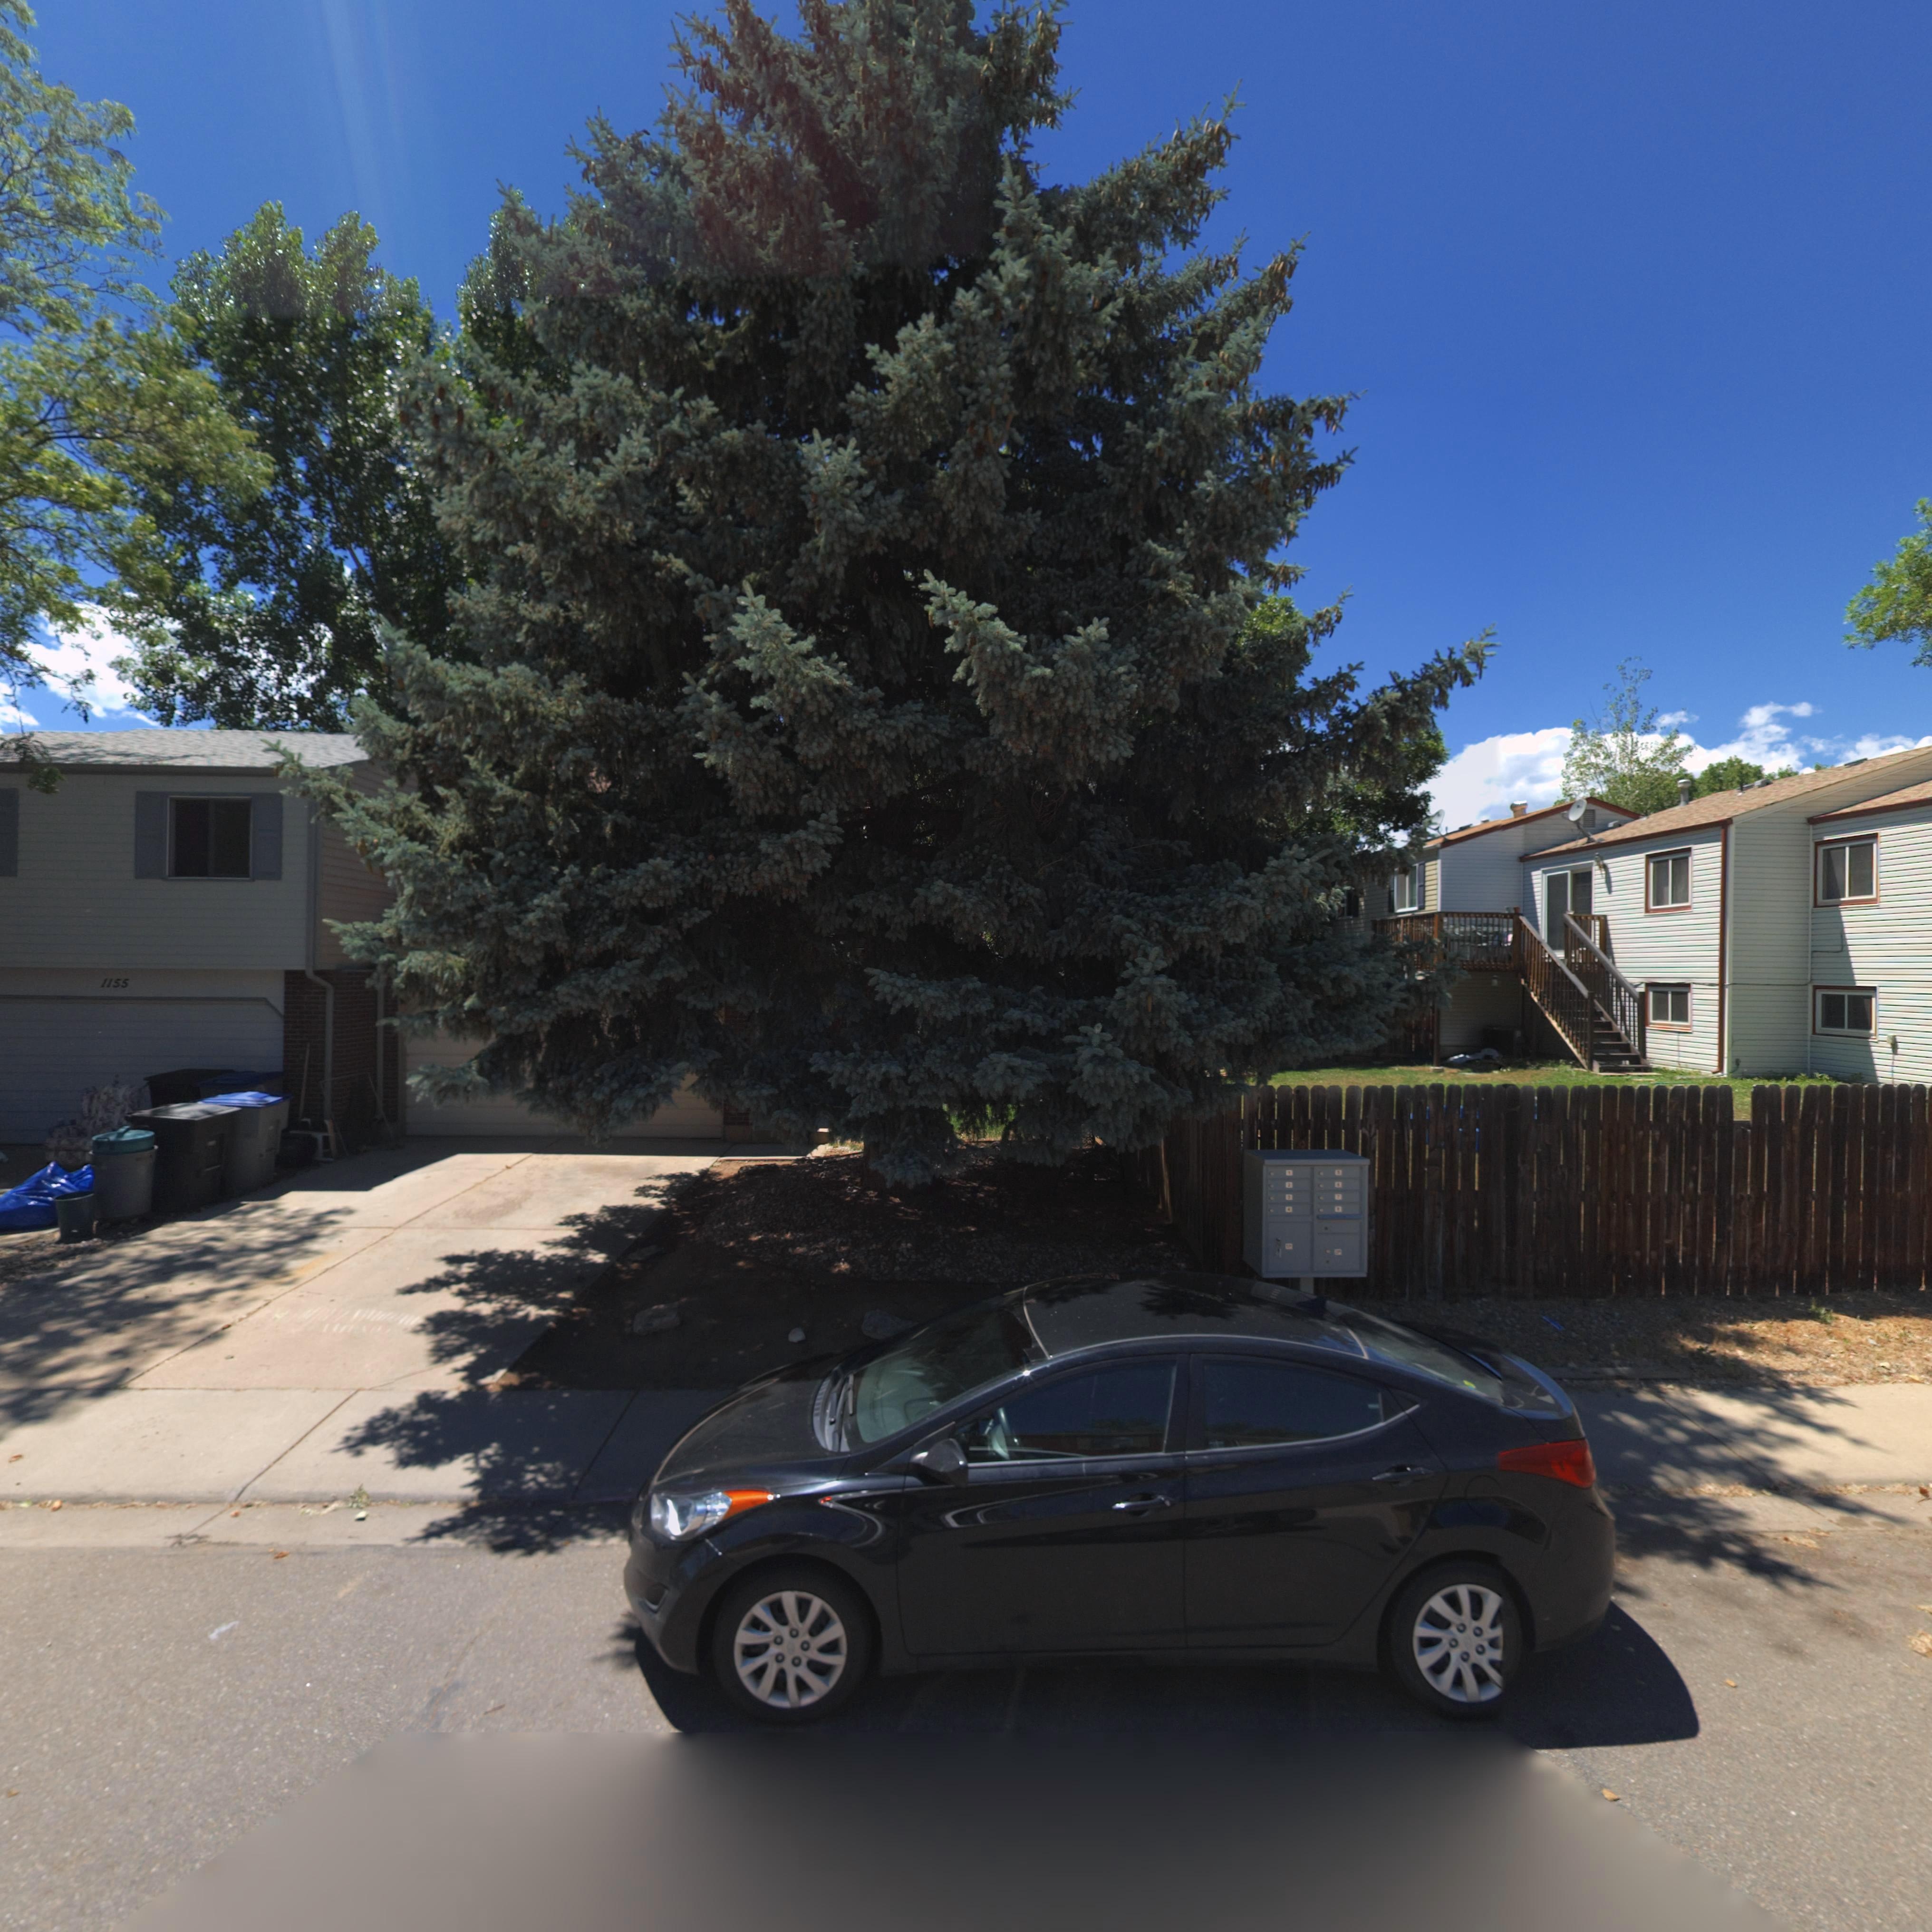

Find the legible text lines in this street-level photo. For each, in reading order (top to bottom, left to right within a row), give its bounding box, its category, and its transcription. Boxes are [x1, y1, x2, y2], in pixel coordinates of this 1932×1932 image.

[100, 978, 130, 988] StreetNumber: 1155